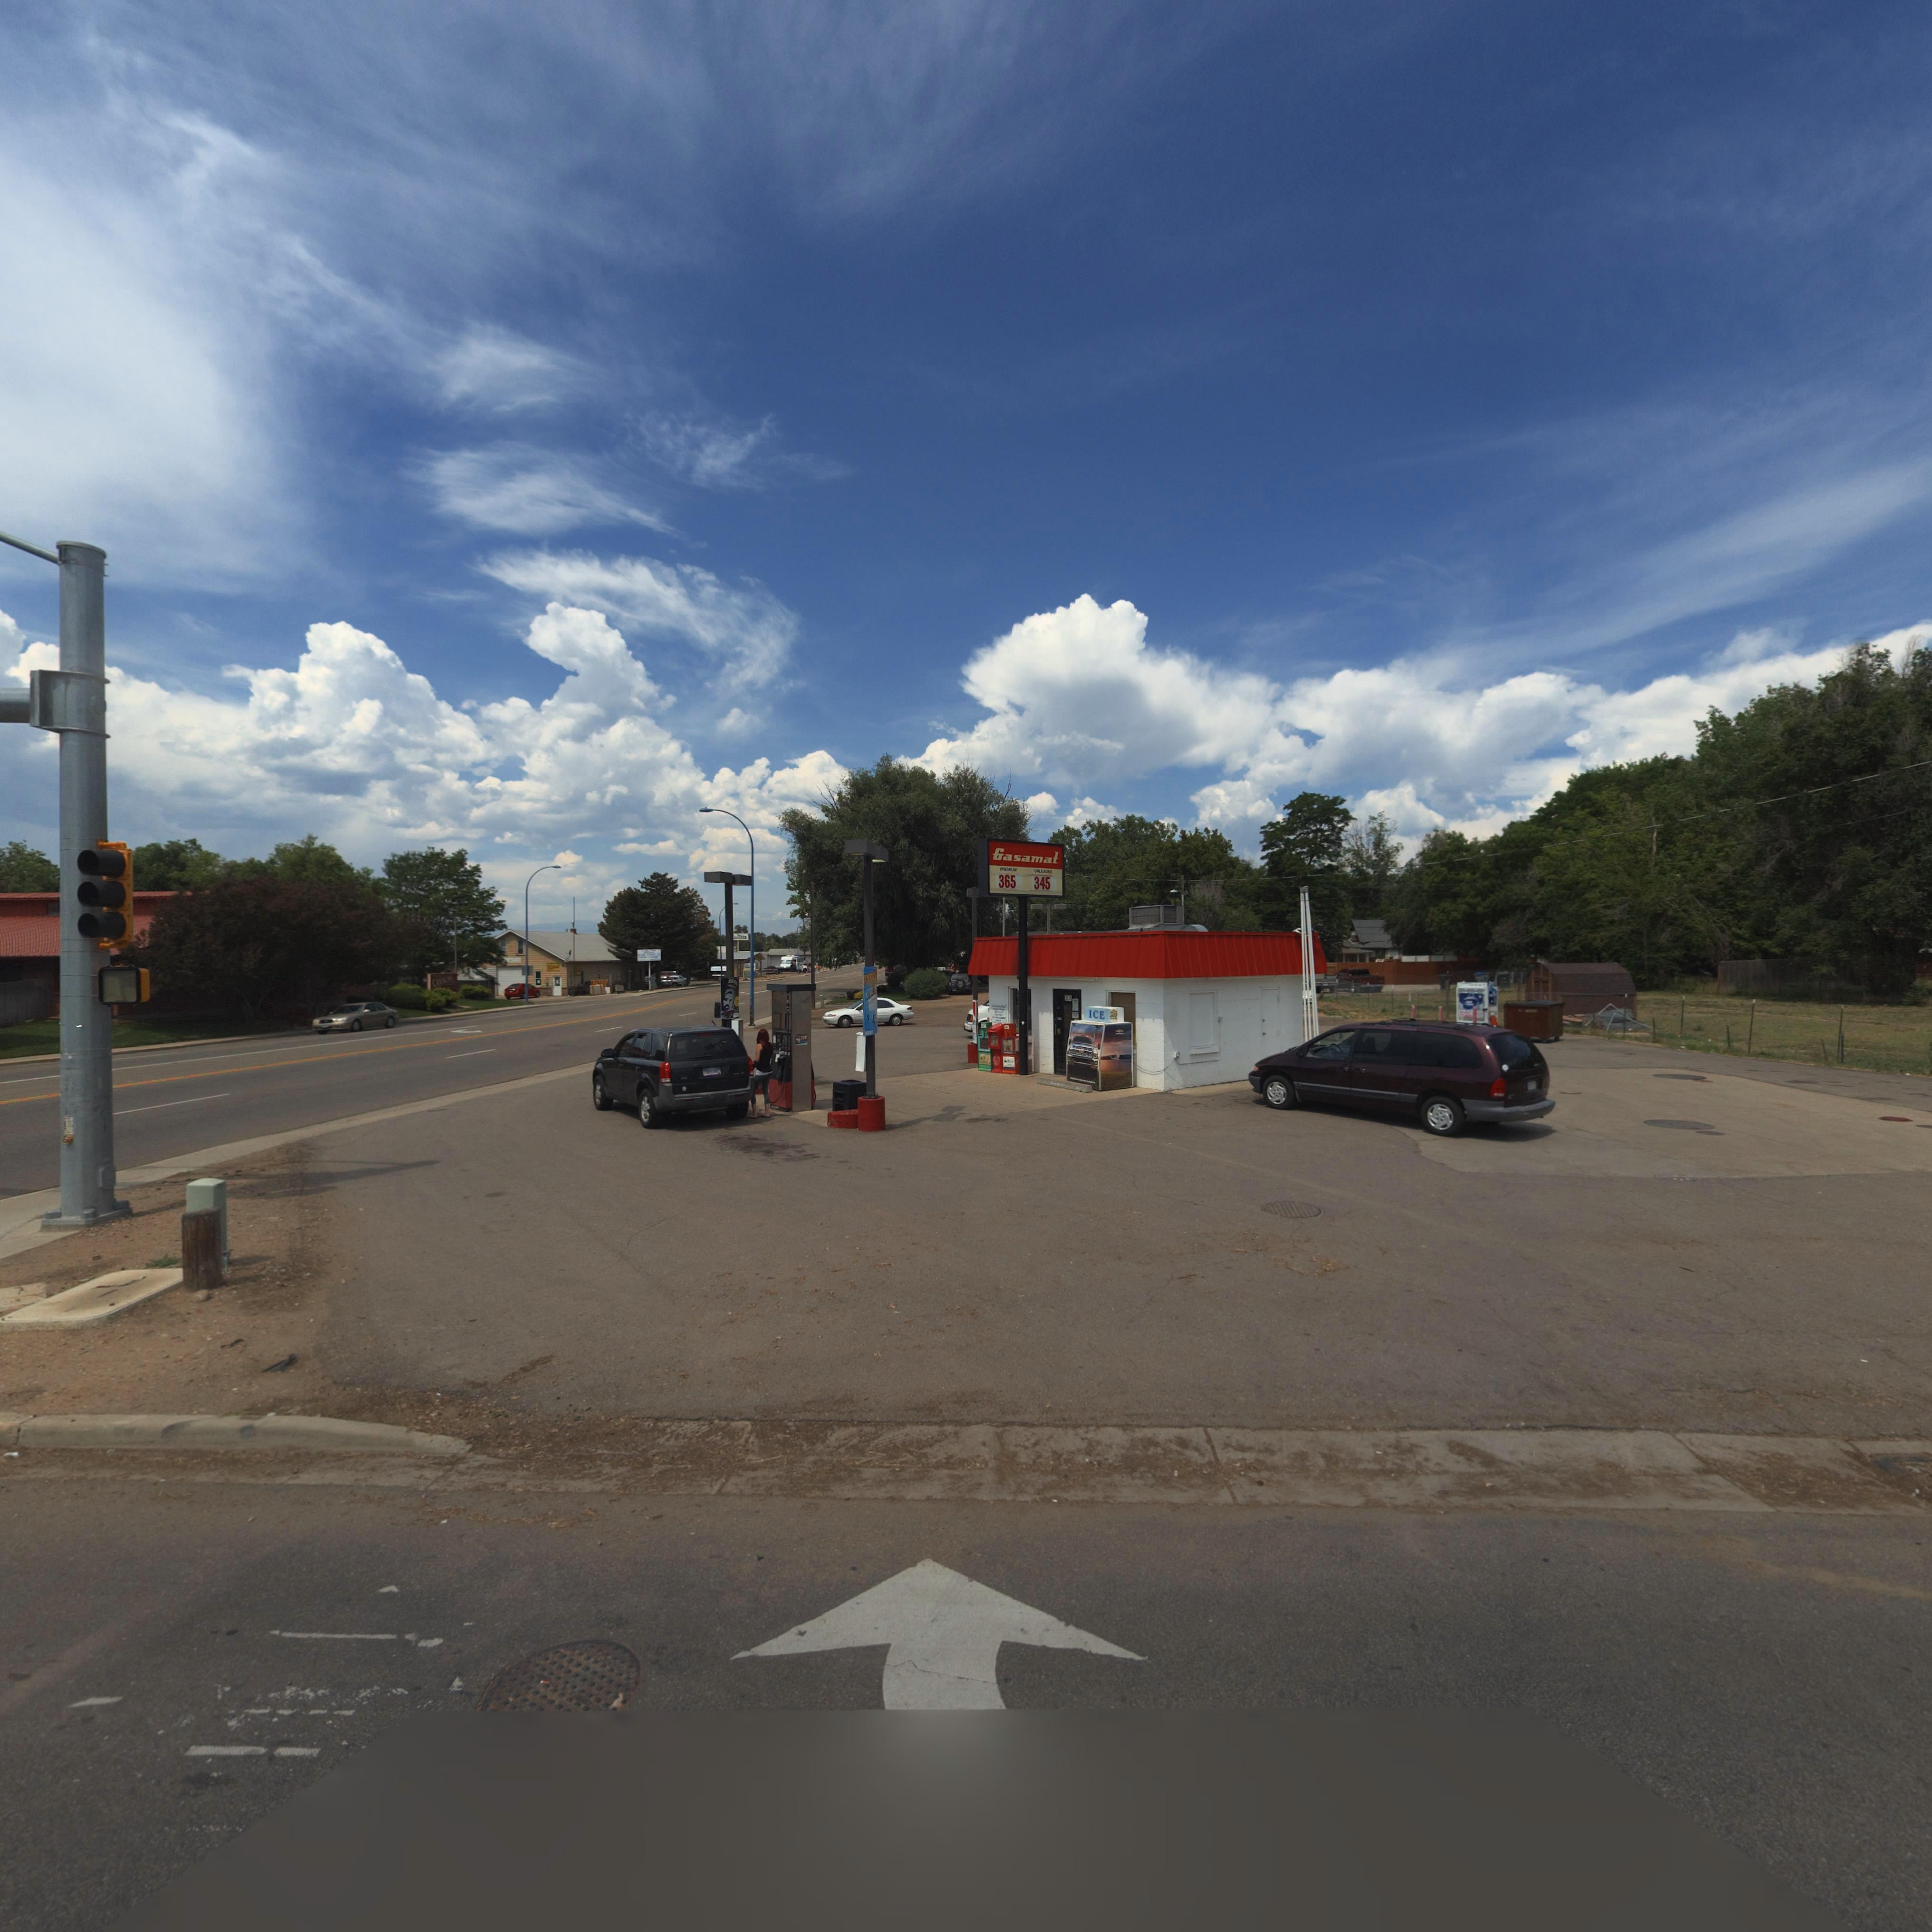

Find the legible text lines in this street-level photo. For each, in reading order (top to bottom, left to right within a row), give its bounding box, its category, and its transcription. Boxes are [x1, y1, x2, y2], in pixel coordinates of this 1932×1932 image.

[990, 846, 1062, 865] BusinessName: Gasamat